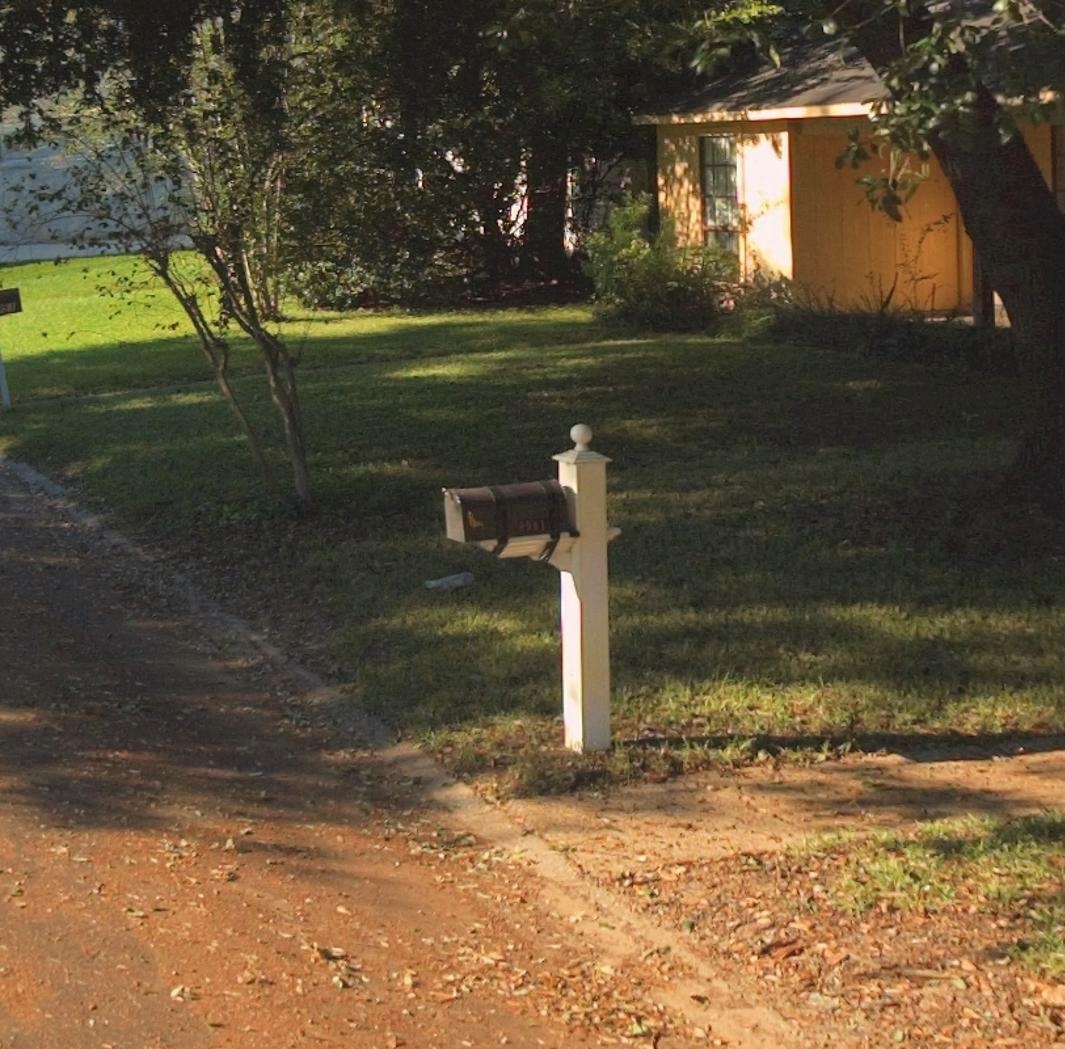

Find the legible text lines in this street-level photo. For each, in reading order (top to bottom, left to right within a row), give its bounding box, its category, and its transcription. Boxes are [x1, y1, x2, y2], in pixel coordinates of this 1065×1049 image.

[517, 518, 545, 535] StreetNumber: 8961